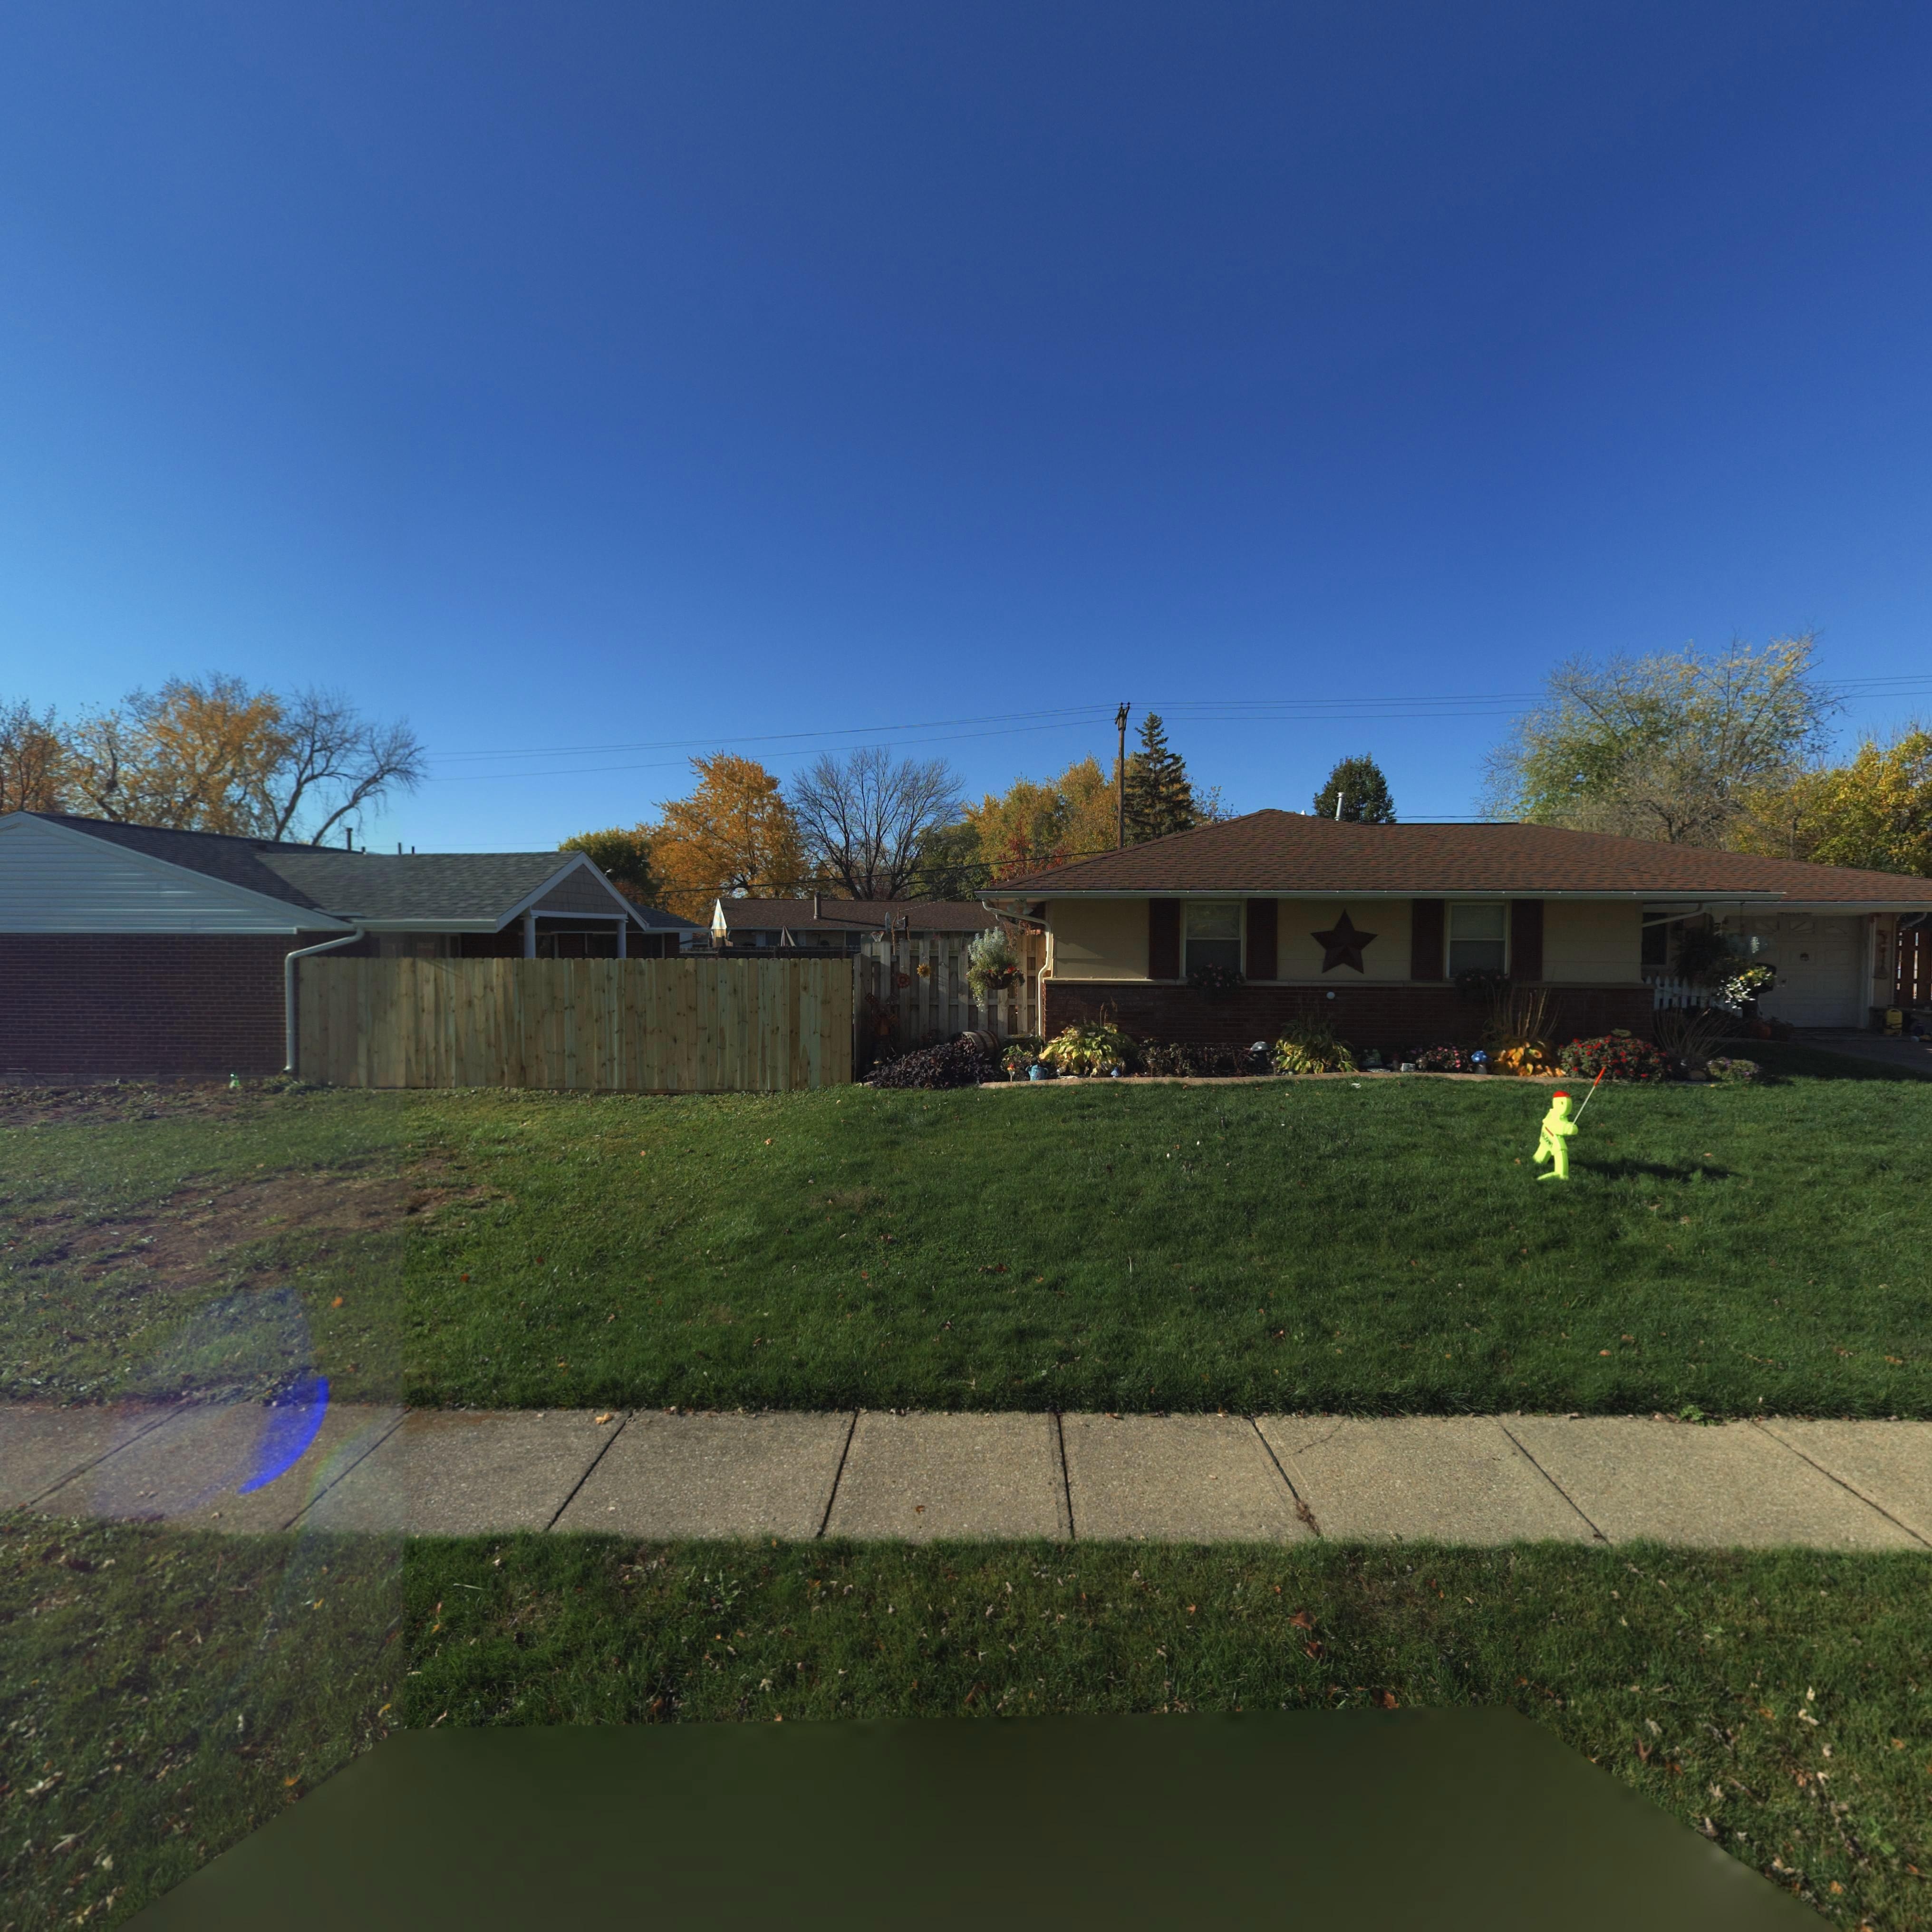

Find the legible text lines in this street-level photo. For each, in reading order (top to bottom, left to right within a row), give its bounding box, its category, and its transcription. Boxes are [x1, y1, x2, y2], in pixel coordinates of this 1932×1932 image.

[1713, 922, 1722, 933] StreetNumber: 7